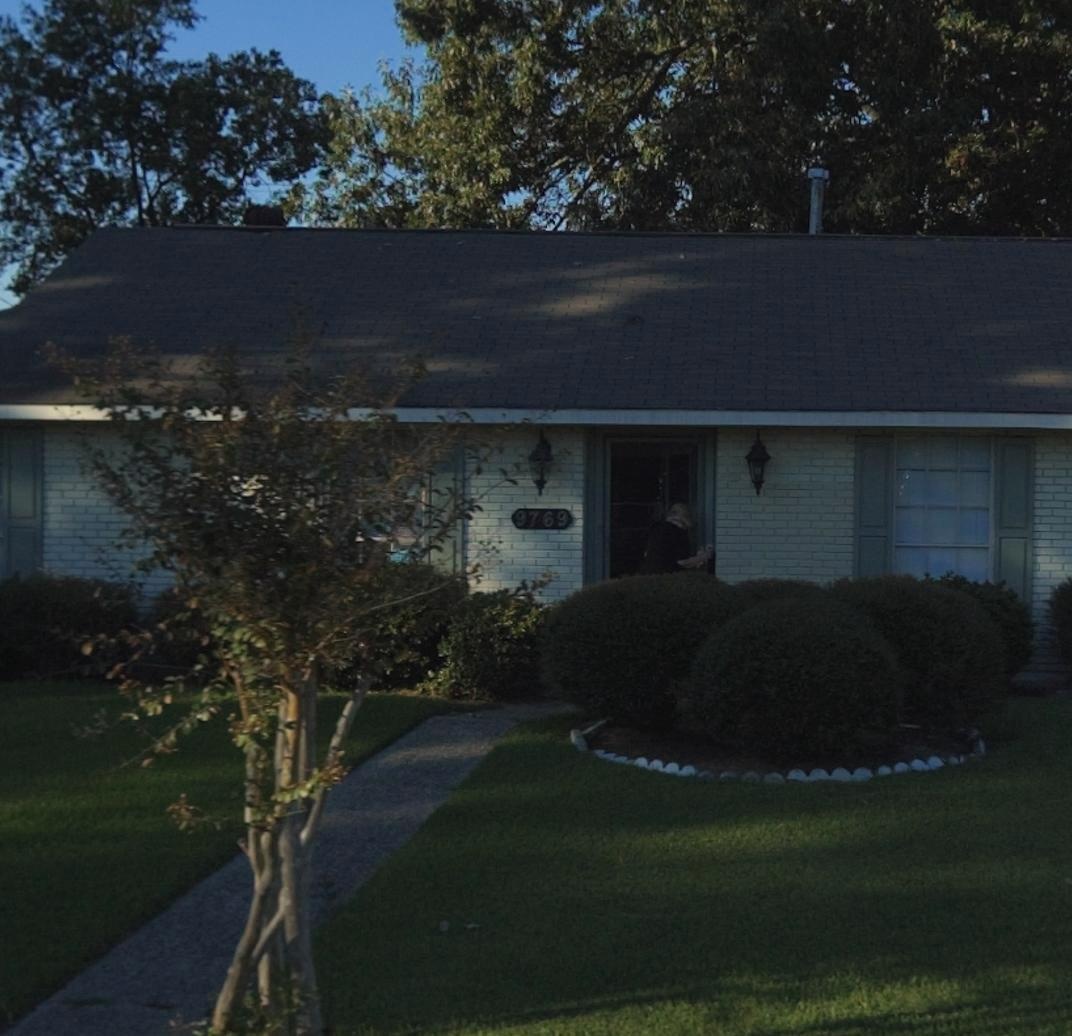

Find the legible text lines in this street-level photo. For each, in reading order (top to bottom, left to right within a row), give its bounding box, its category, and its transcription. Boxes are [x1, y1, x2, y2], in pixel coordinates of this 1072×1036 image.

[514, 509, 569, 529] StreetNumber: 9769